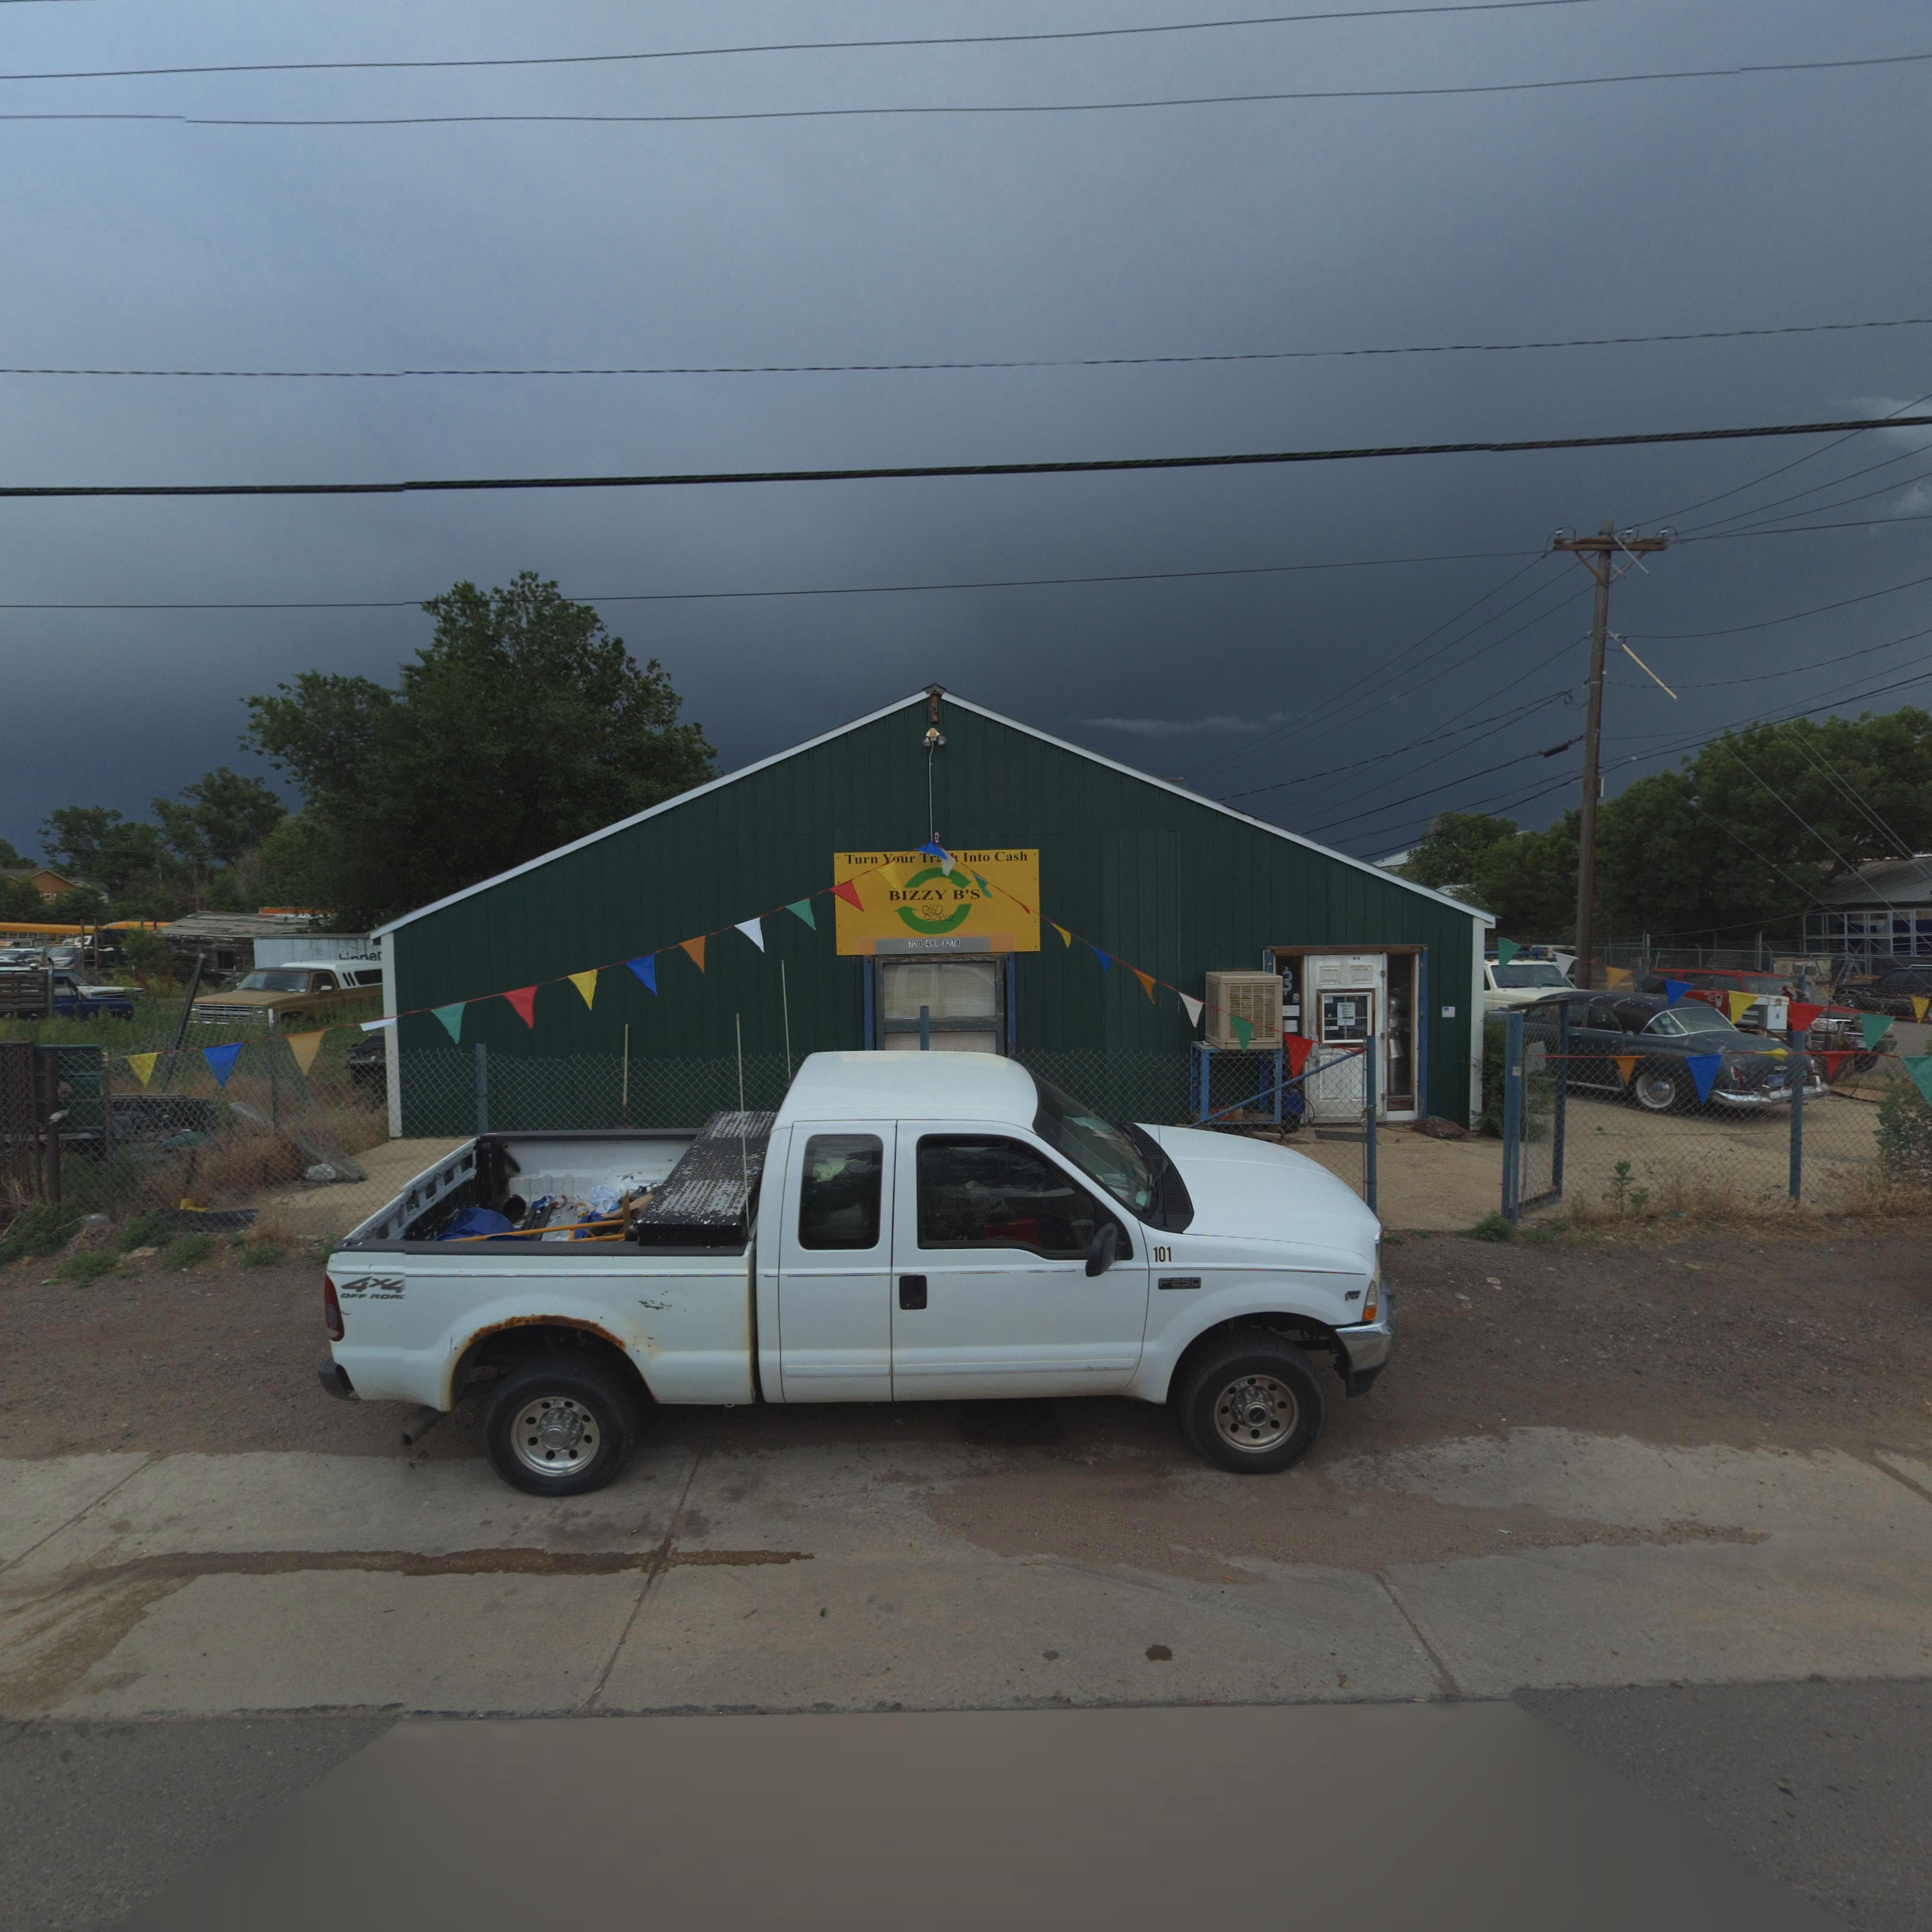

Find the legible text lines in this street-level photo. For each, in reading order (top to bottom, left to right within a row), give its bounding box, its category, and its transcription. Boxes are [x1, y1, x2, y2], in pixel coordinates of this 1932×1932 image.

[889, 888, 980, 901] BusinessName: BIZZY B'S